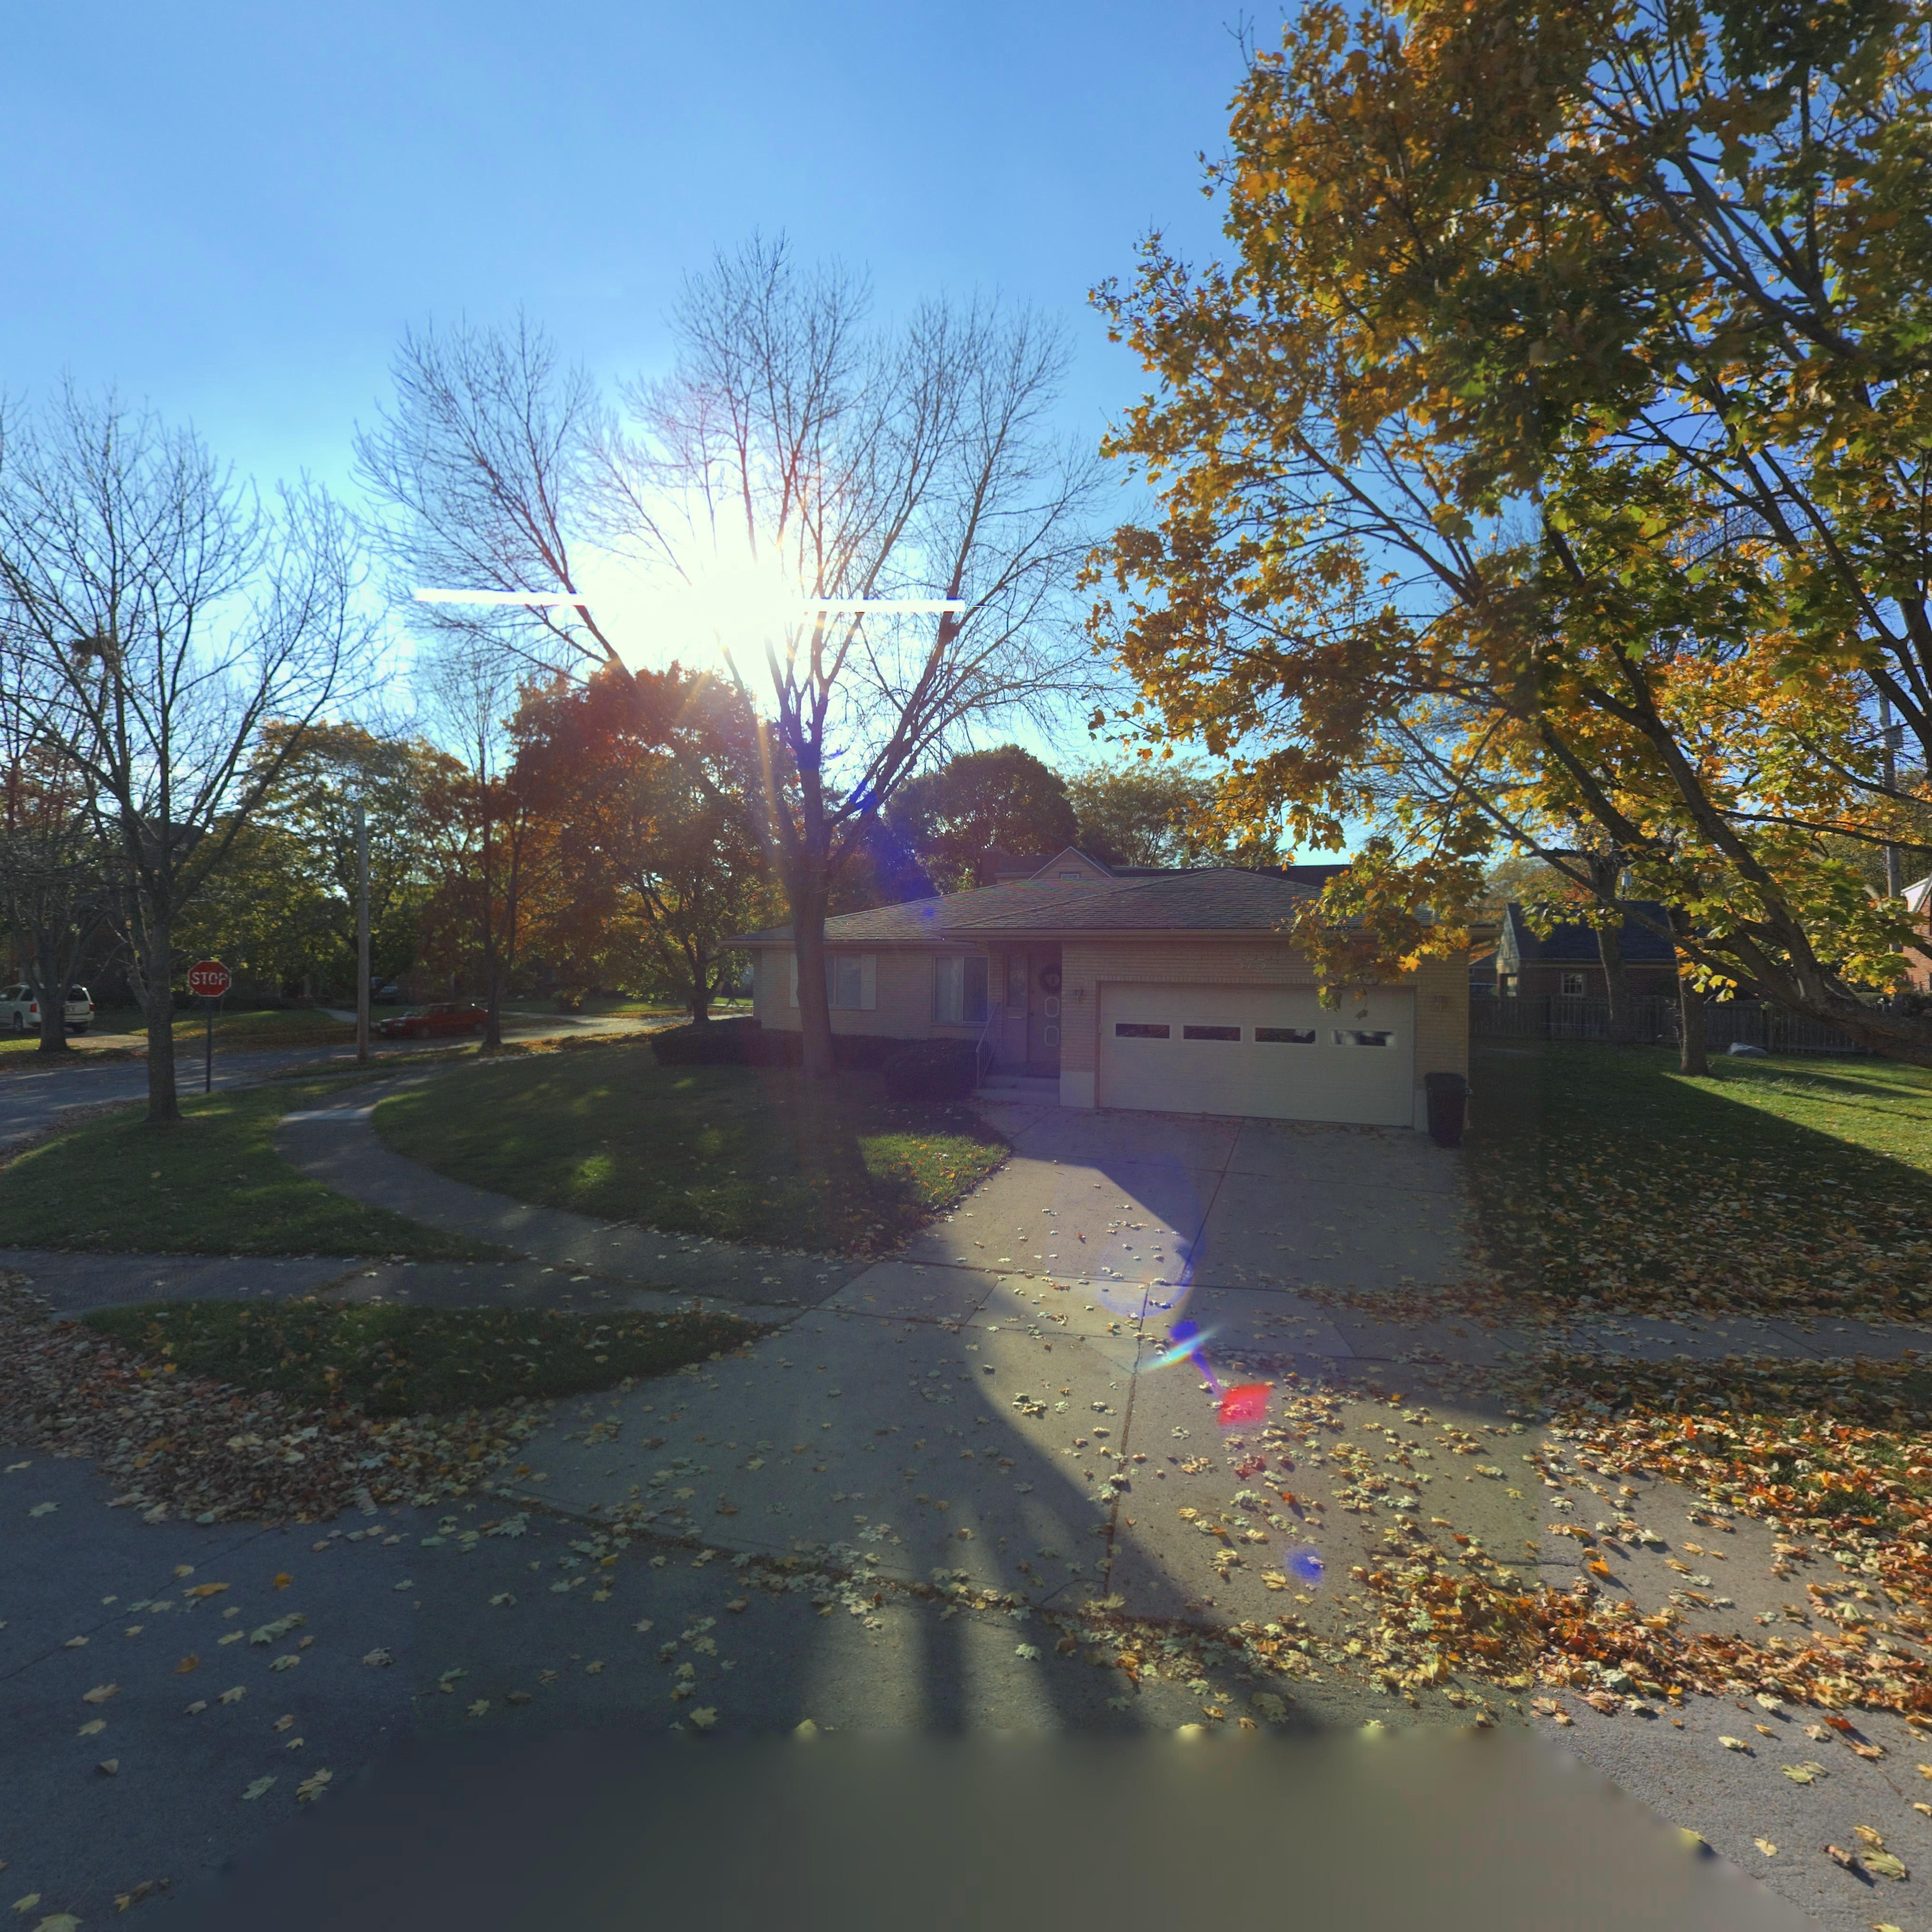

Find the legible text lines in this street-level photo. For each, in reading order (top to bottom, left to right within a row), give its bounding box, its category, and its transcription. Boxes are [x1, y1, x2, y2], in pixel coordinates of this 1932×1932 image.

[1233, 957, 1266, 970] StreetNumber: 575